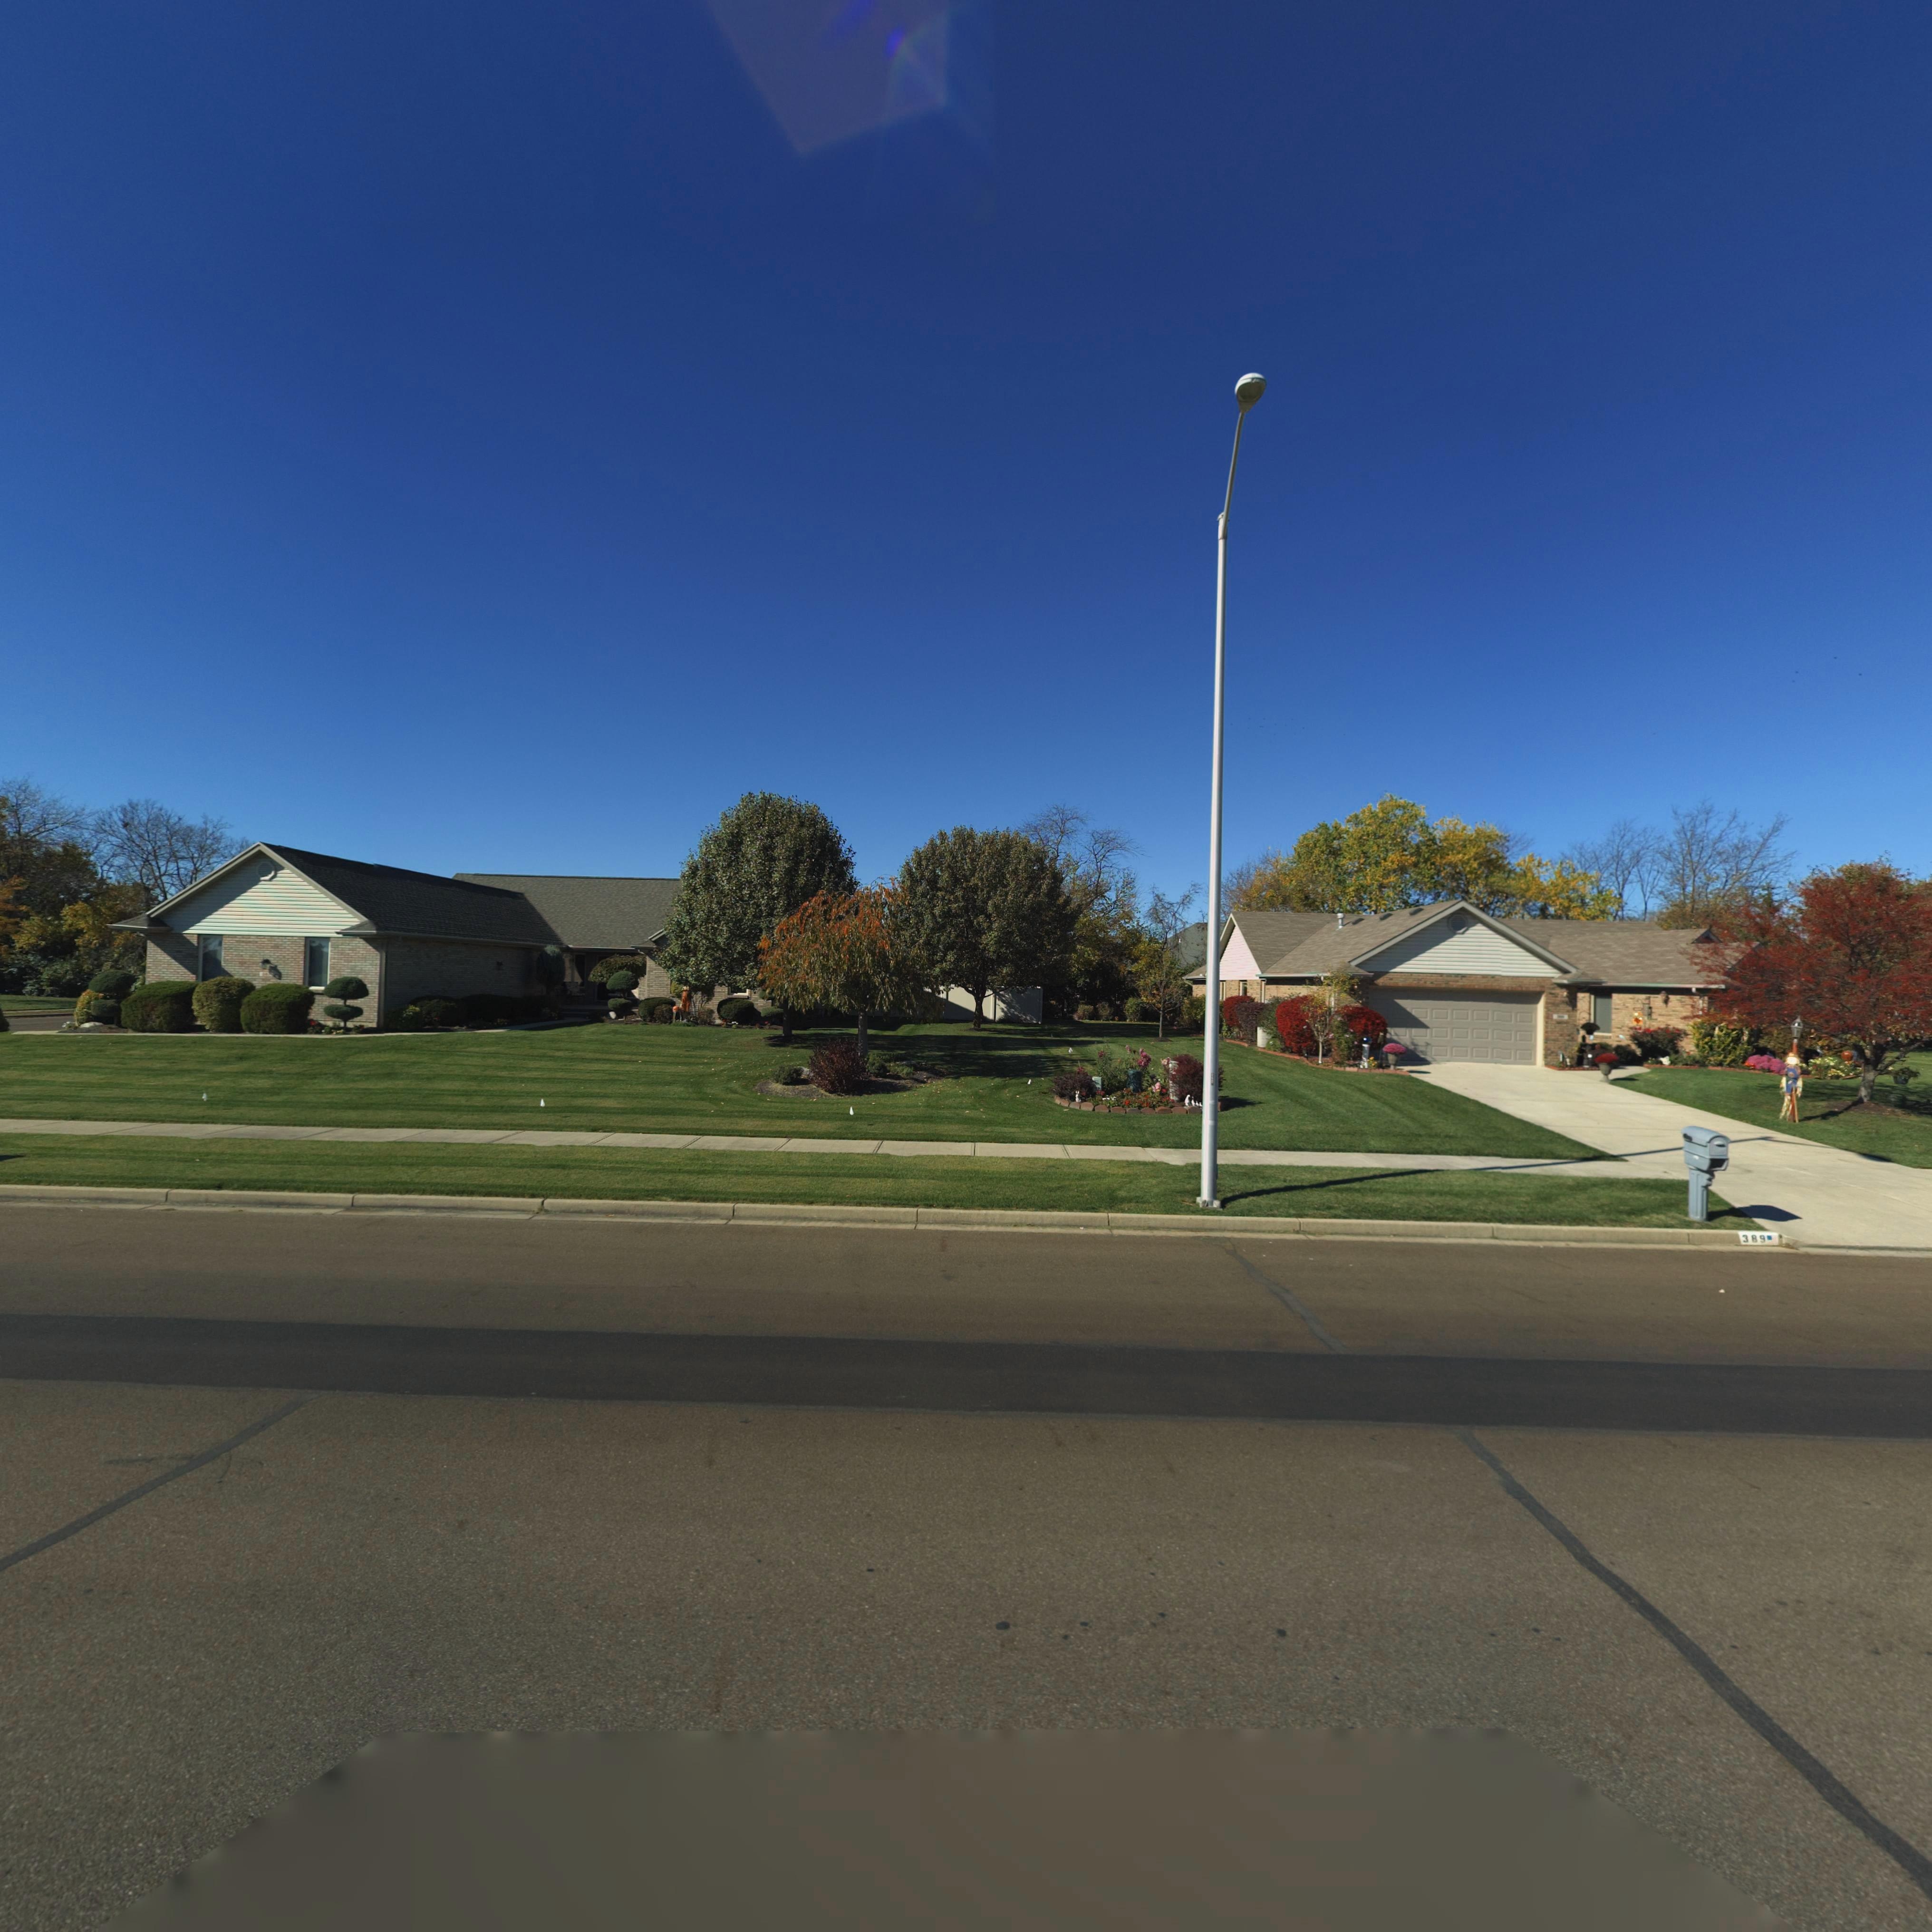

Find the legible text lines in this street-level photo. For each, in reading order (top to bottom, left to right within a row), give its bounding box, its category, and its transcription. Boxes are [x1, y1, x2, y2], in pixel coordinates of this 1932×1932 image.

[1742, 1234, 1766, 1244] StreetNumber: 389